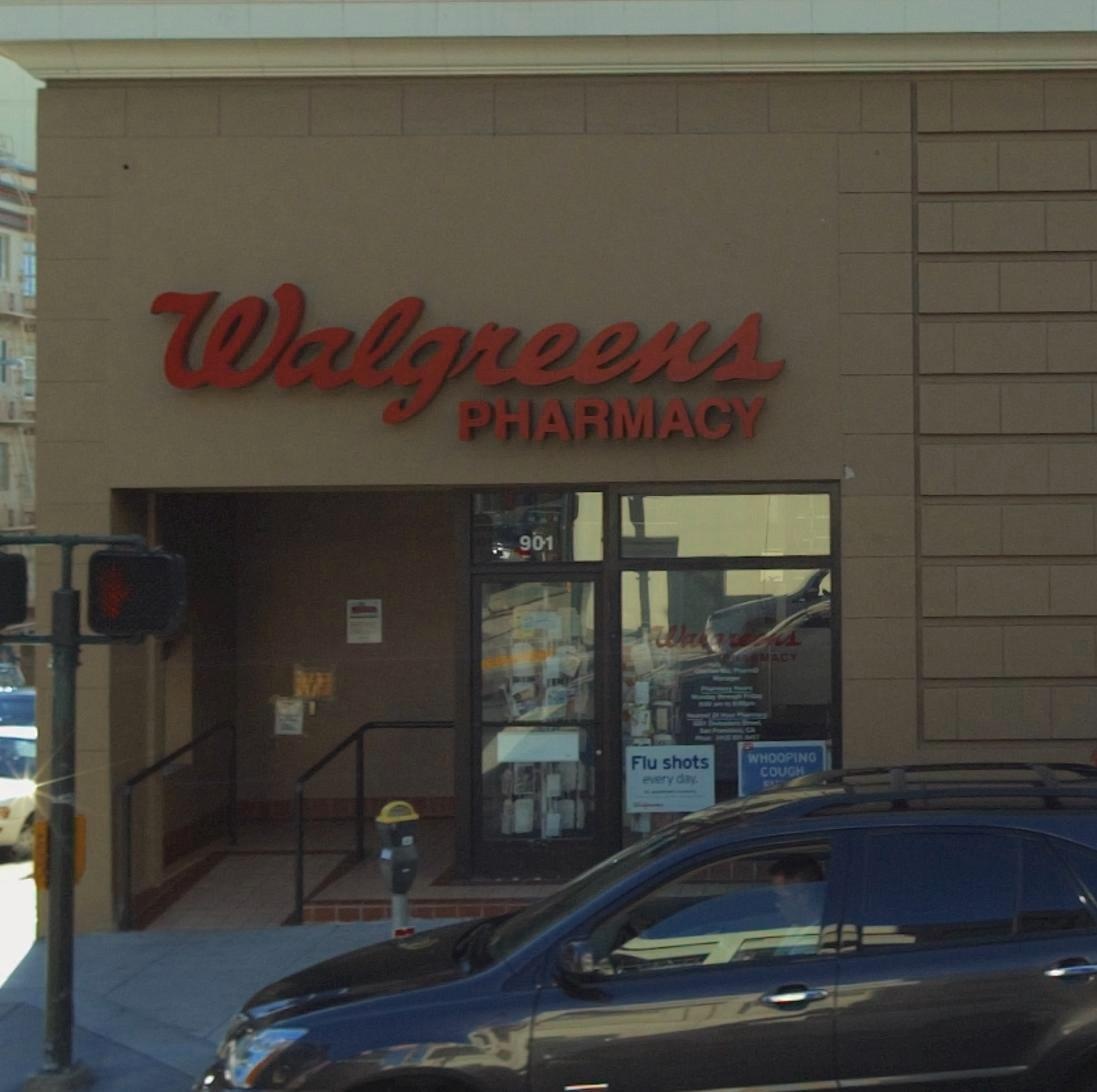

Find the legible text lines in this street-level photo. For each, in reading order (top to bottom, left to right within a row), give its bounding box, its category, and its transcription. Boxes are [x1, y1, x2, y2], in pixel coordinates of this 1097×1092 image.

[144, 279, 793, 428] BusinessName: Walgreens
[457, 393, 775, 443] None: PHARMACY
[518, 533, 555, 553] StreetNumber: 901
[649, 623, 805, 654] BusinessName: Wal*re**s
[722, 651, 800, 664] BusinessName: P**RMACY
[640, 771, 699, 787] None: every day.
[629, 753, 712, 772] None: Flu shots
[746, 751, 818, 765] None: WHOOPING
[759, 763, 806, 778] None: COUGH